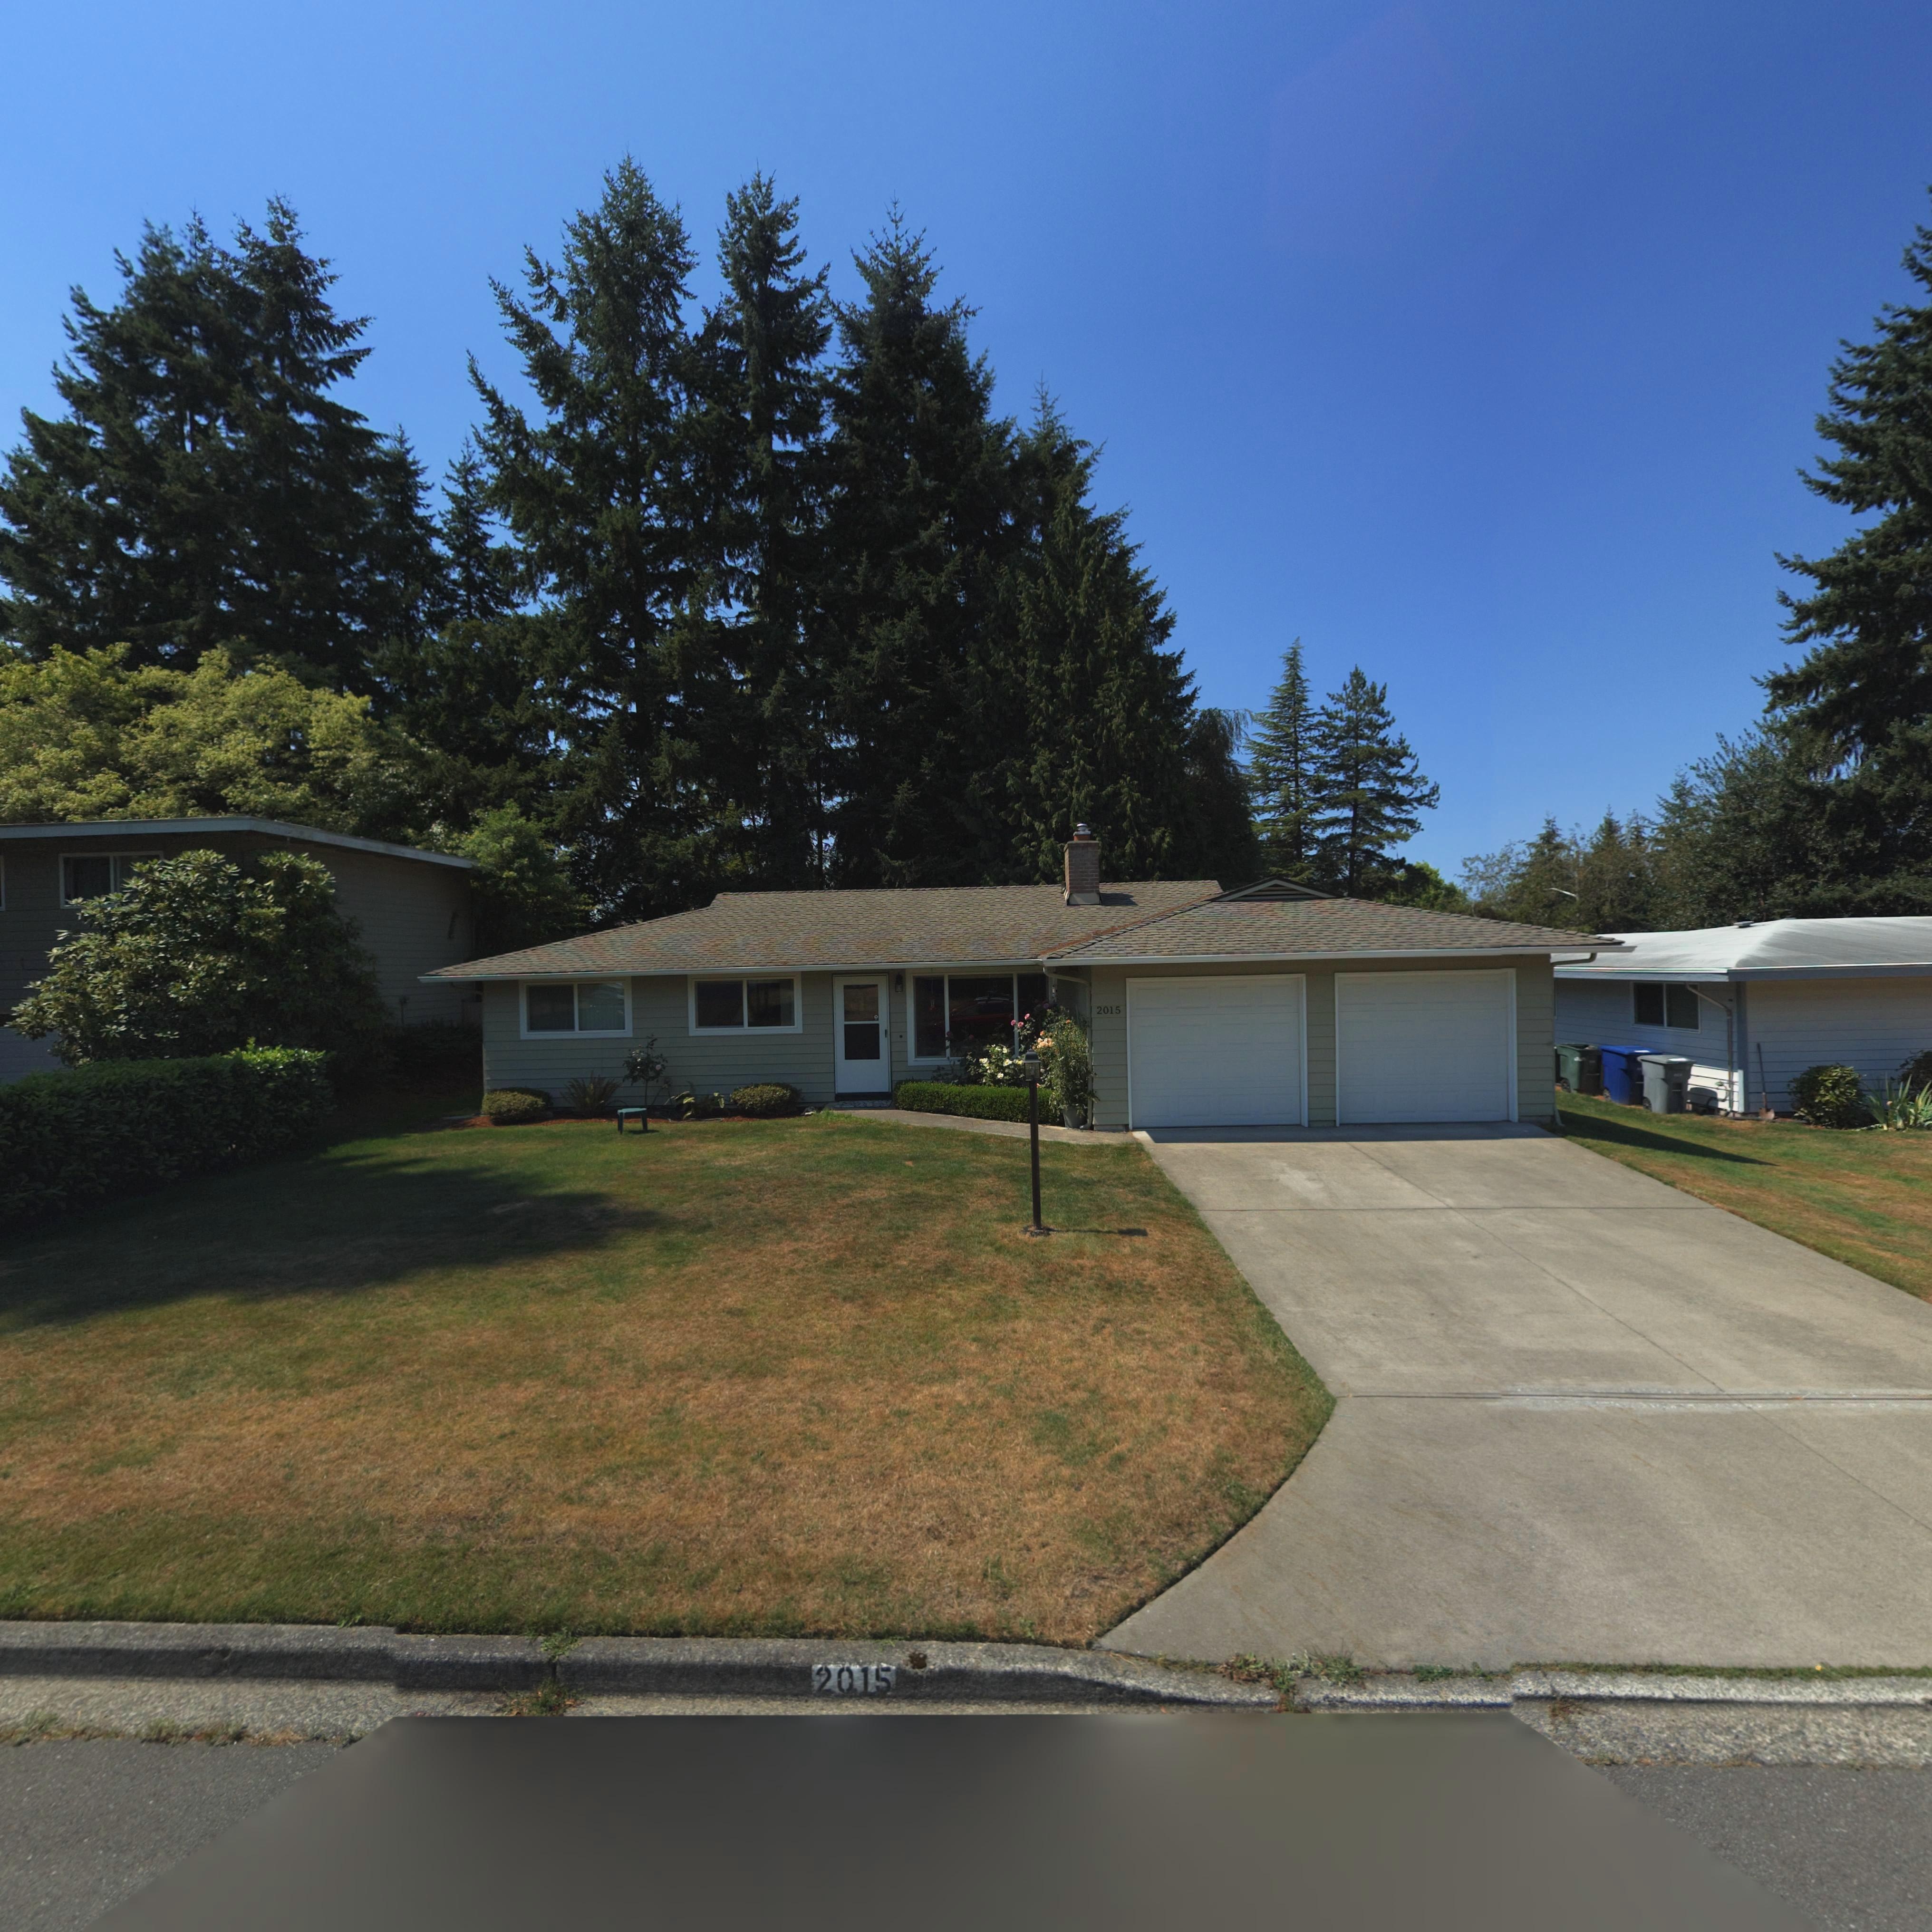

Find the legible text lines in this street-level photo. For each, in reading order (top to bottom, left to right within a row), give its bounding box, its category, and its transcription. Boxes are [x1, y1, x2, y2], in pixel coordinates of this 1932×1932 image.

[1095, 1005, 1121, 1014] StreetNumber: 2015
[814, 1665, 894, 1695] StreetNumber: 2015